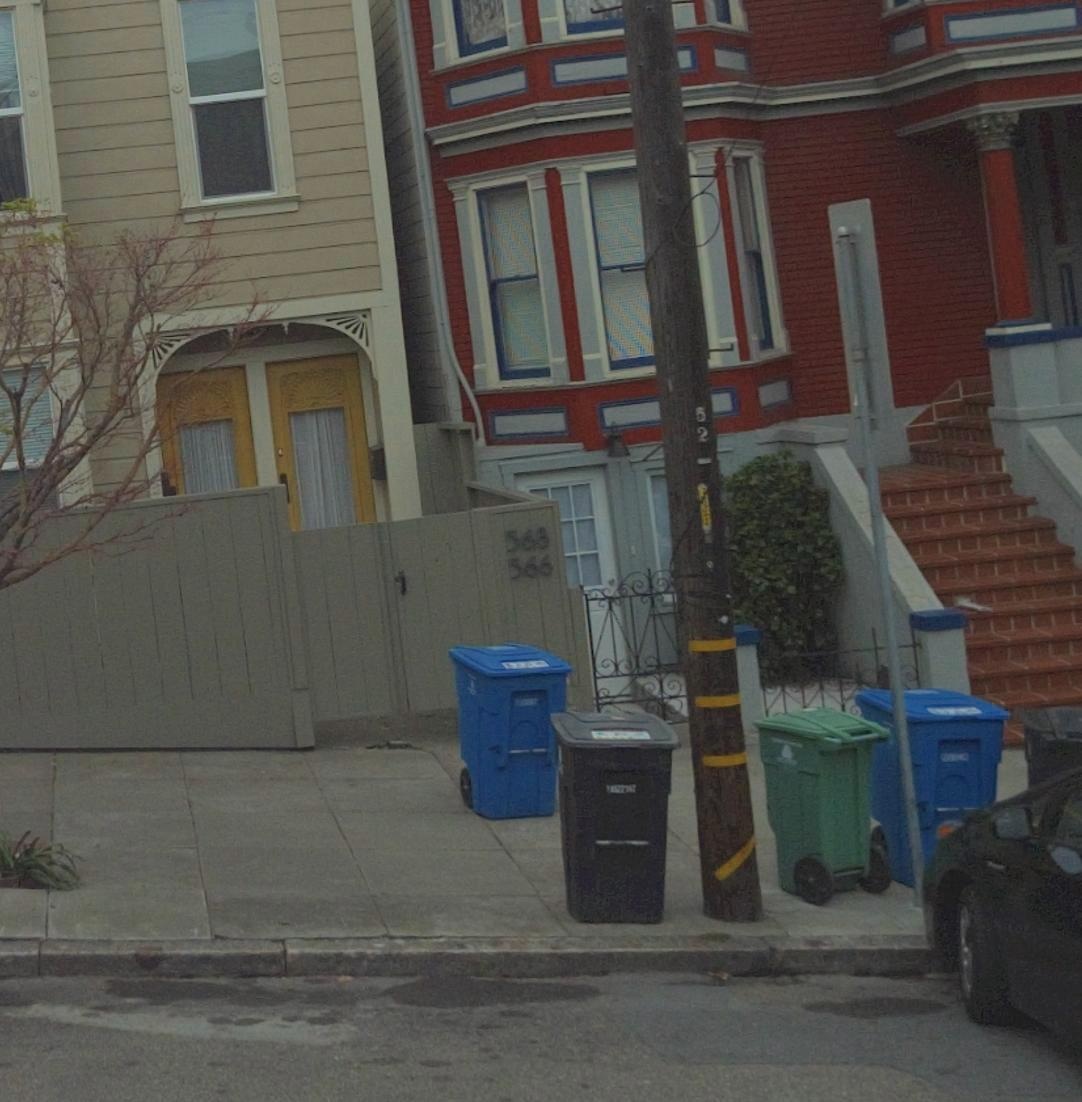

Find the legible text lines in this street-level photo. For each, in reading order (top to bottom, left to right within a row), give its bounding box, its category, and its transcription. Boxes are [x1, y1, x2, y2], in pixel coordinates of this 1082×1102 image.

[692, 403, 712, 445] None: 52
[503, 524, 552, 555] StreetNumber: 568
[507, 552, 557, 583] StreetNumber: 566